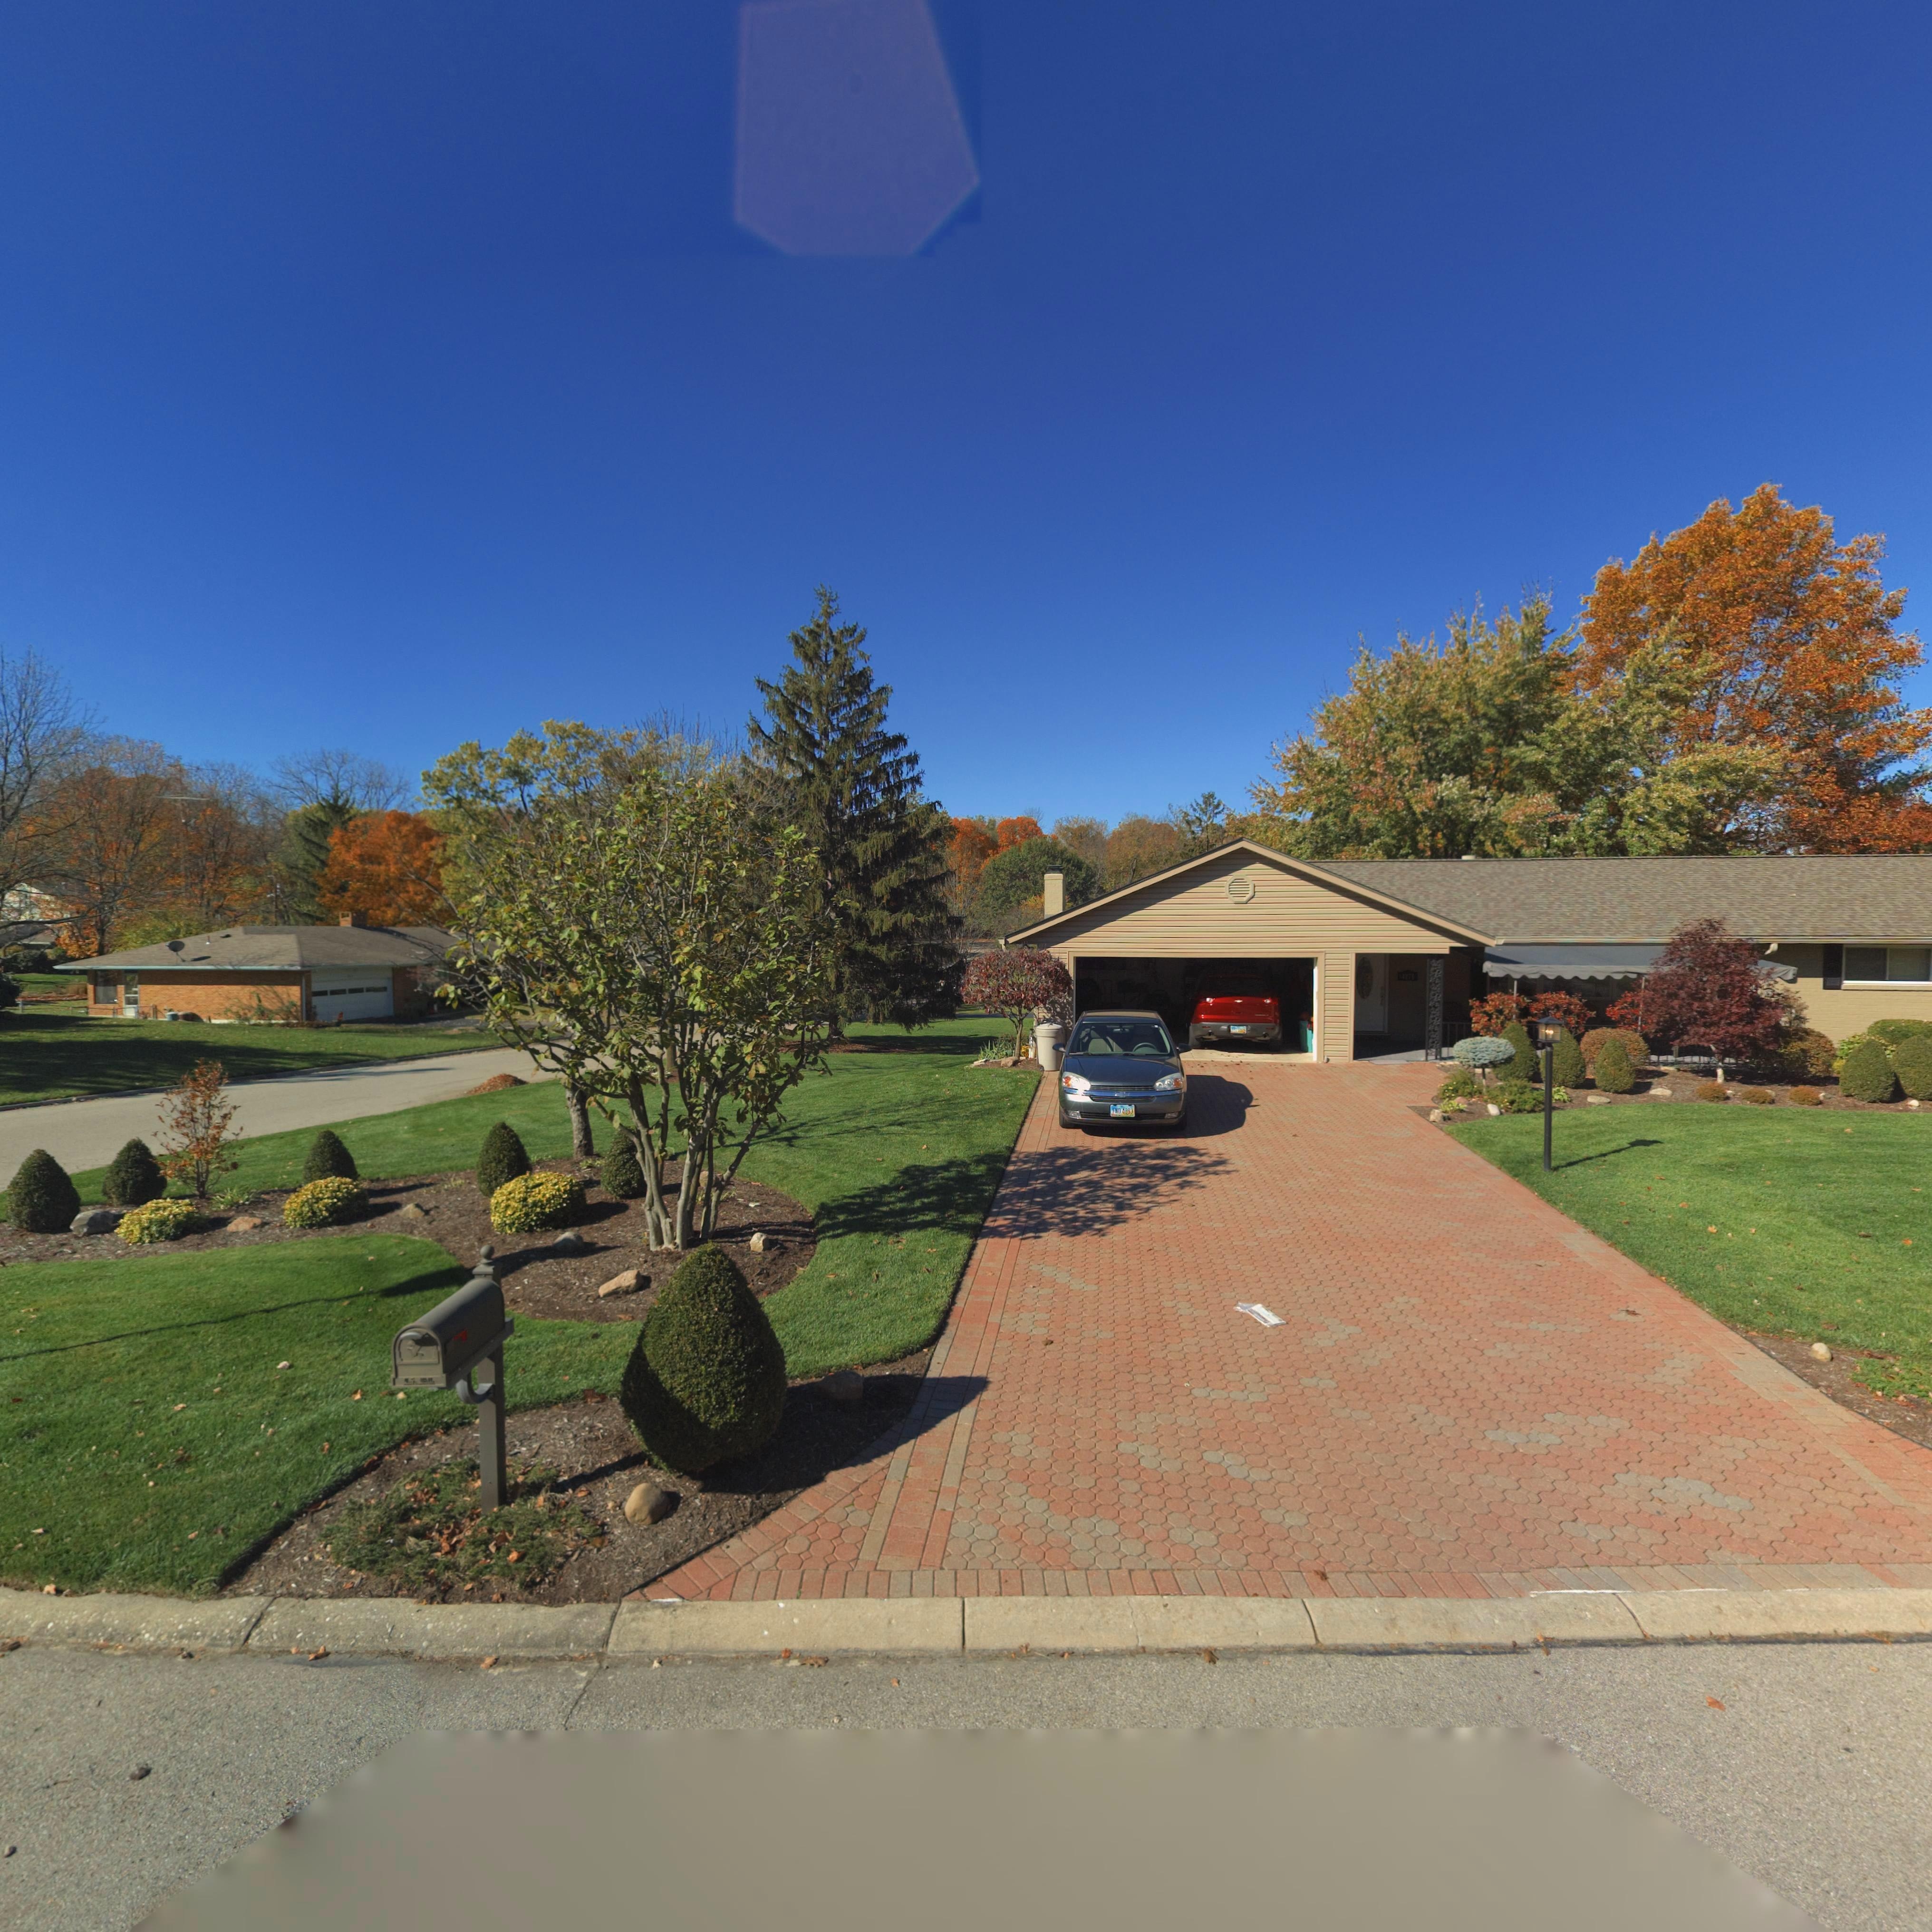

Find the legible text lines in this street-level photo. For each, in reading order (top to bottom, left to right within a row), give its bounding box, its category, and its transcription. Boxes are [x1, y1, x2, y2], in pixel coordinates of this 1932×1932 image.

[1400, 972, 1416, 981] StreetNumber: *17*